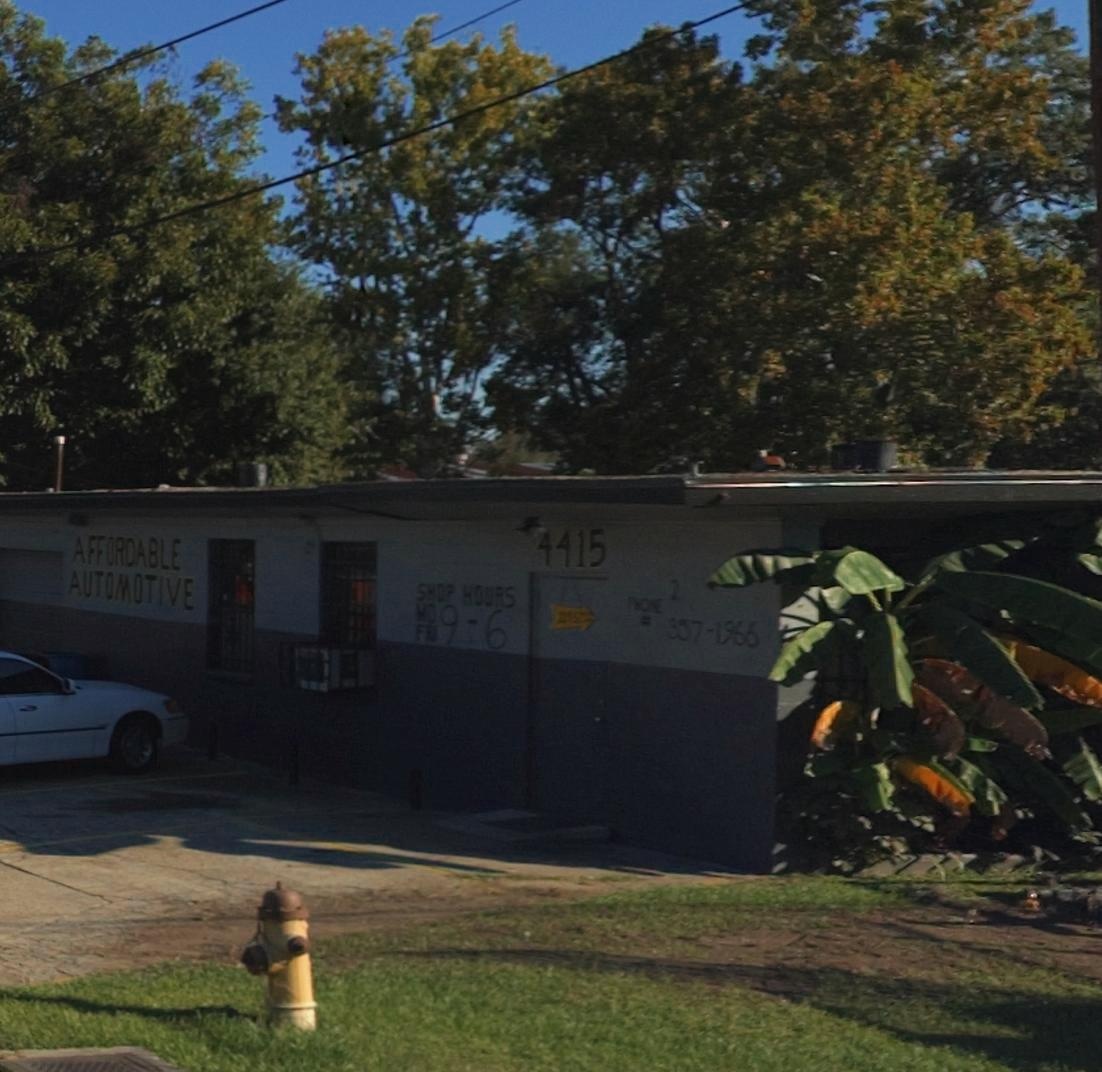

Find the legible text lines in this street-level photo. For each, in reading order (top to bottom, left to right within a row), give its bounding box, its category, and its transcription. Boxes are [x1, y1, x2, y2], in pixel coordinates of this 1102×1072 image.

[66, 531, 184, 575] BusinessName: AFFORDABLE
[533, 525, 609, 570] StreetNumber: 4415
[62, 566, 198, 615] BusinessName: AUTOMOTIVE
[412, 601, 440, 626] None: MO
[413, 621, 443, 647] None: FRI
[412, 579, 518, 611] None: SHOP HOURS
[436, 601, 512, 655] None: 9-6
[624, 593, 666, 617] None: PHONE
[665, 576, 684, 603] None: 2
[662, 614, 763, 650] None: 357-1966